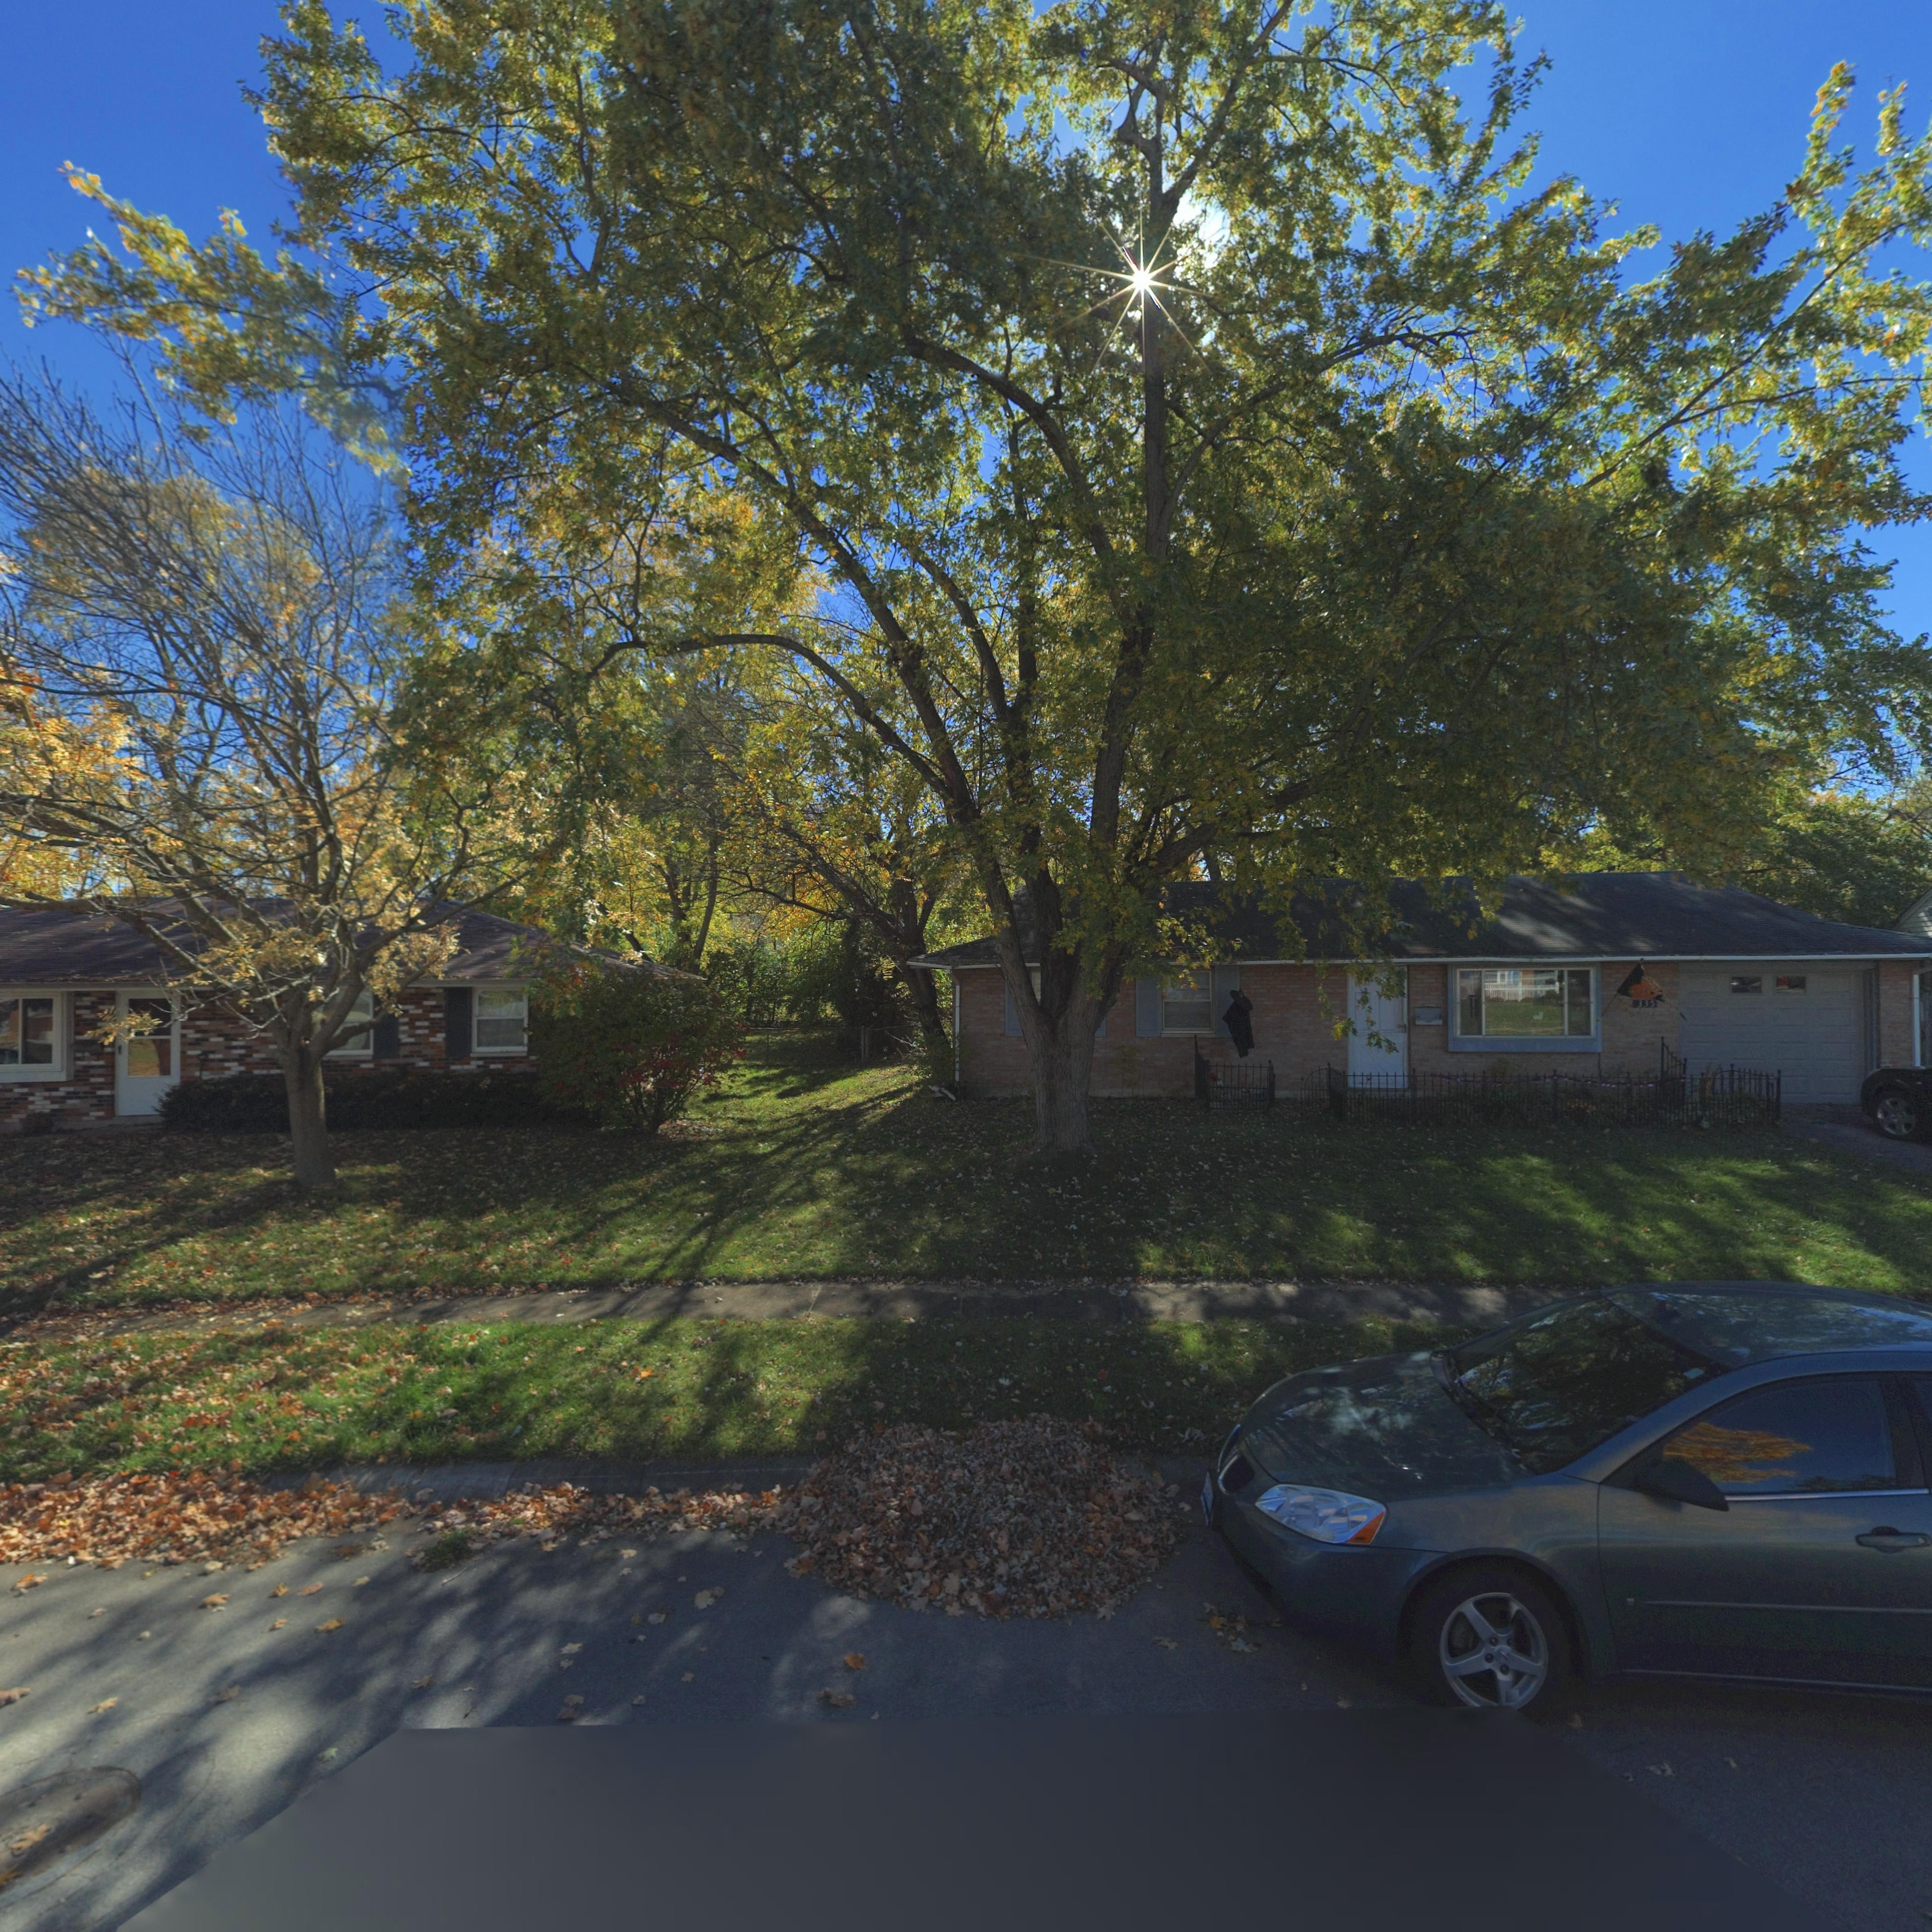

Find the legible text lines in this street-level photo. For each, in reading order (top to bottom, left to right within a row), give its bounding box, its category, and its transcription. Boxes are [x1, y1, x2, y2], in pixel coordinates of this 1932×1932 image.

[1636, 999, 1656, 1008] StreetNumber: 335